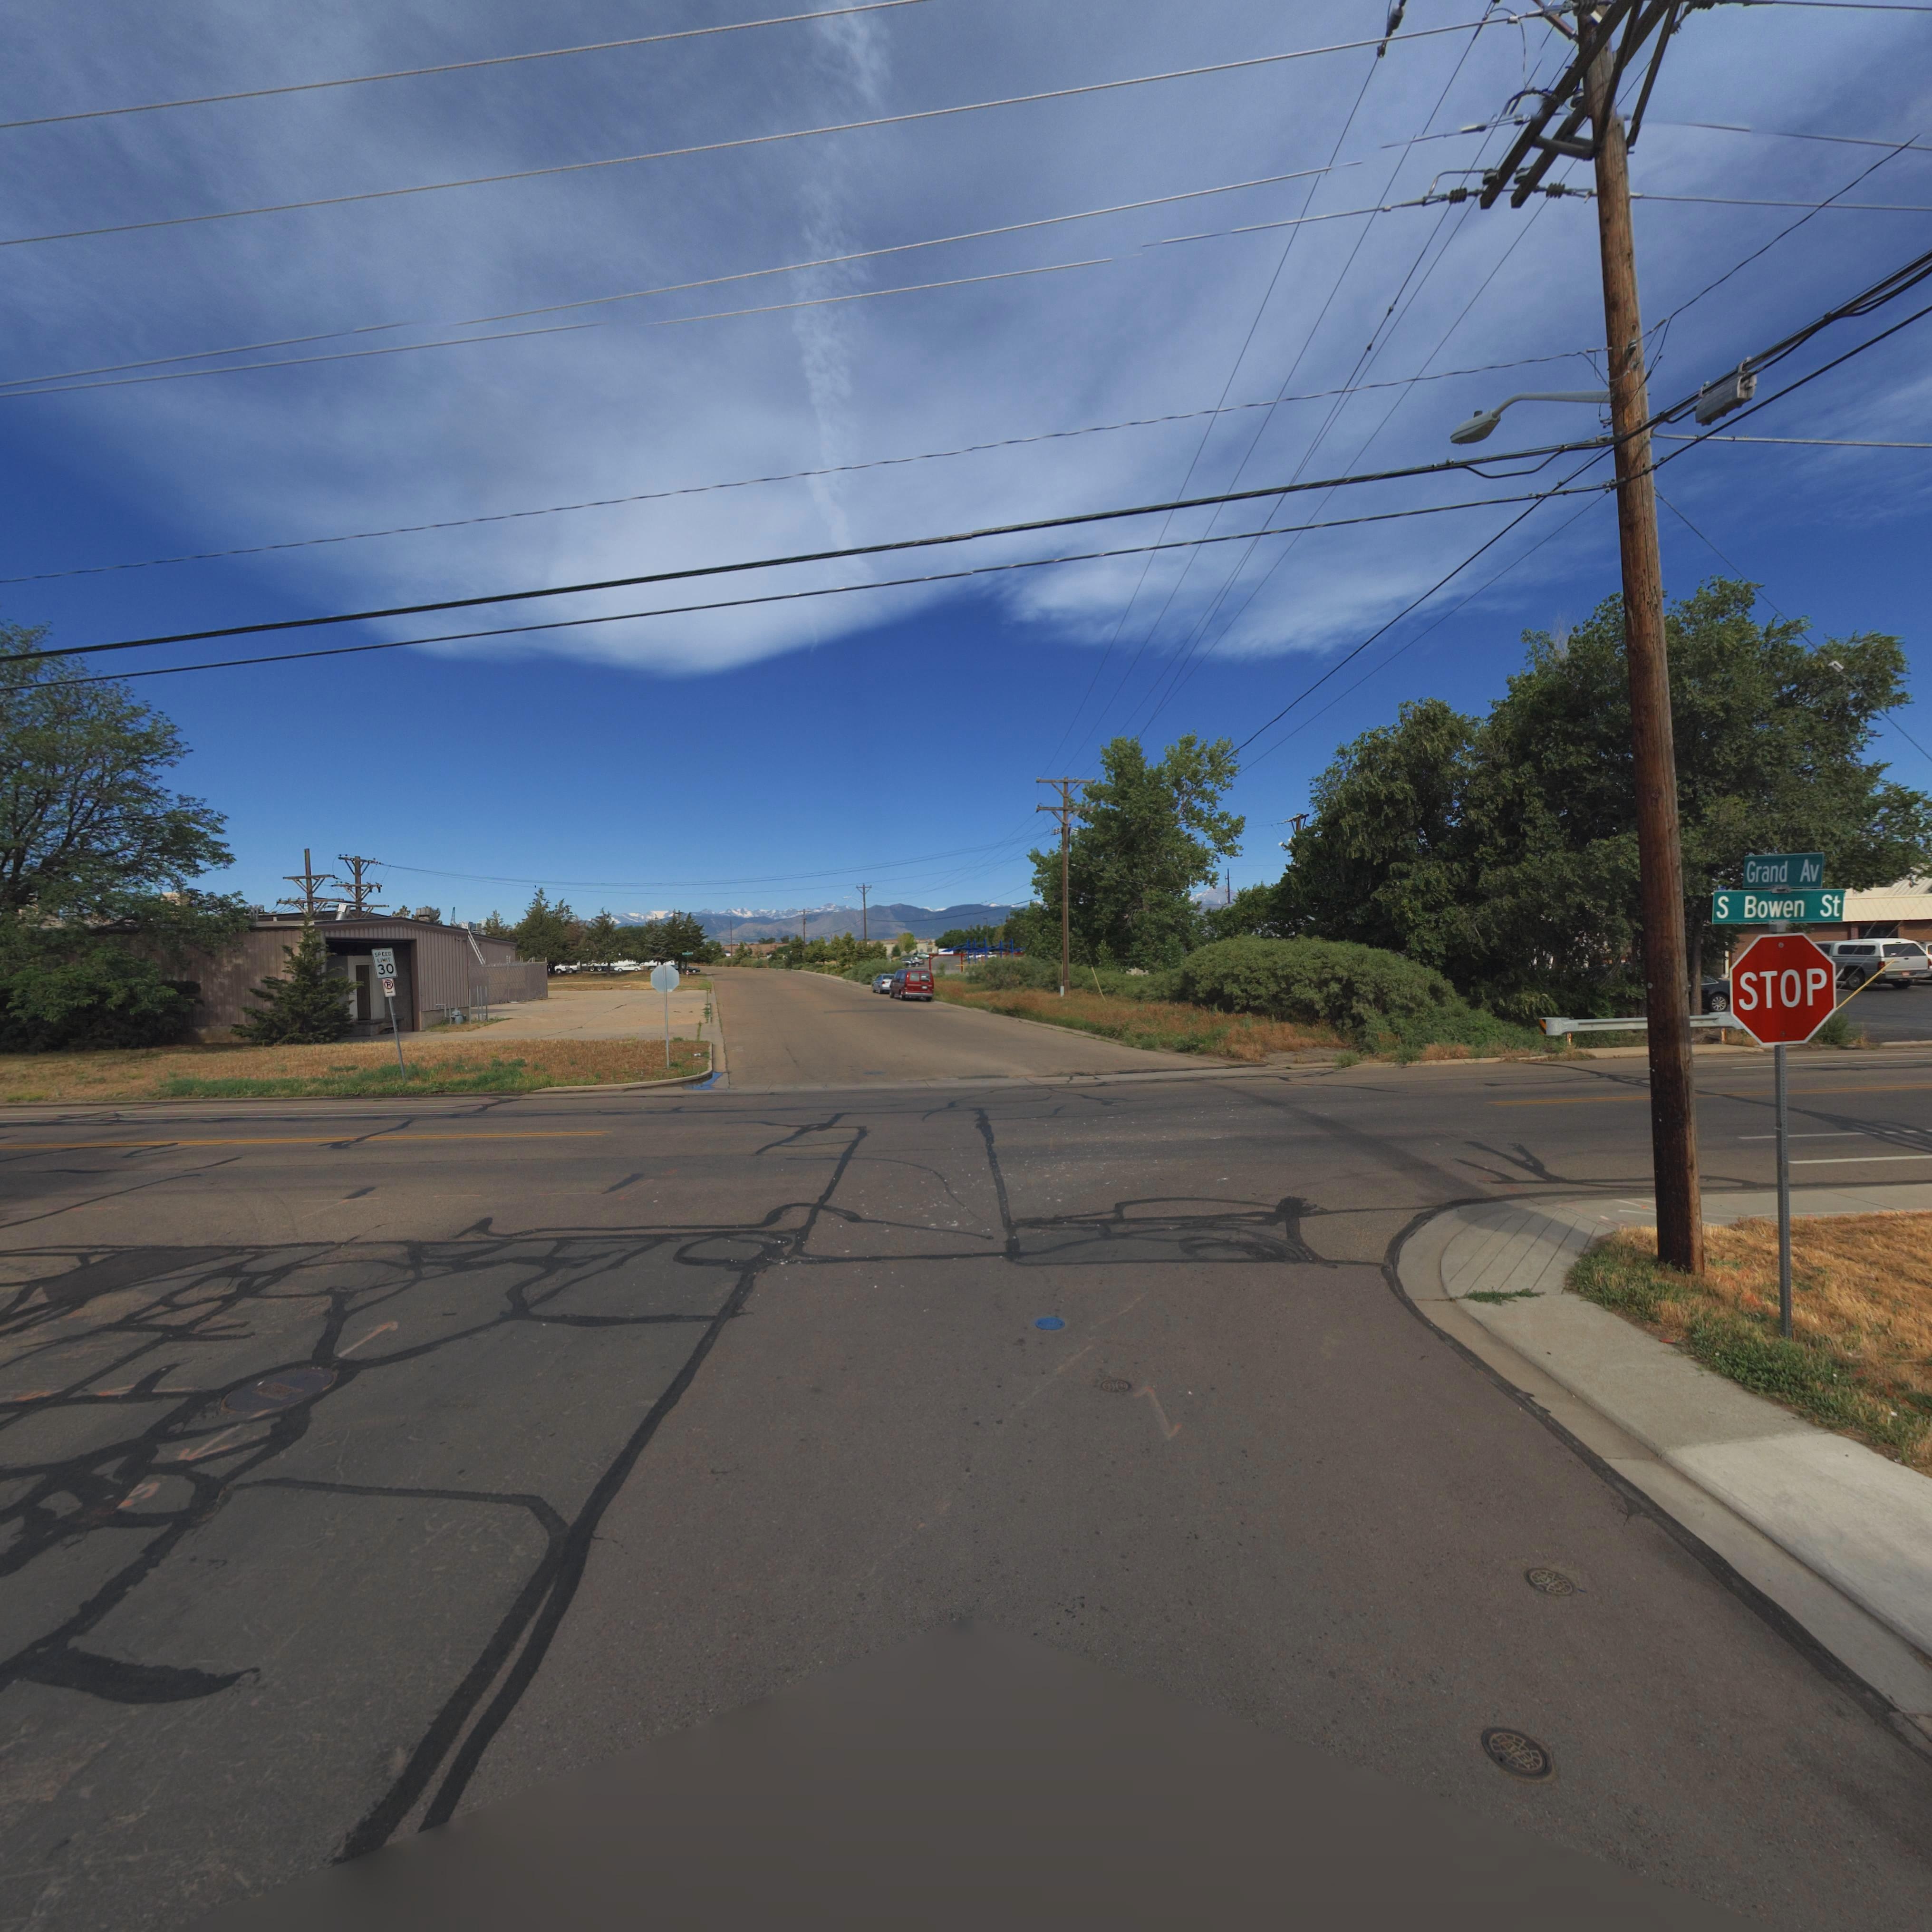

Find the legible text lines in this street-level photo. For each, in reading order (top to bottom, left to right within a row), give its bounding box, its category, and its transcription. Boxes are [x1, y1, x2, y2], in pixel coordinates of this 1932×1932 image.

[1746, 858, 1821, 883] StreetName: Grand Av
[1715, 893, 1841, 919] StreetName: S Bowen St